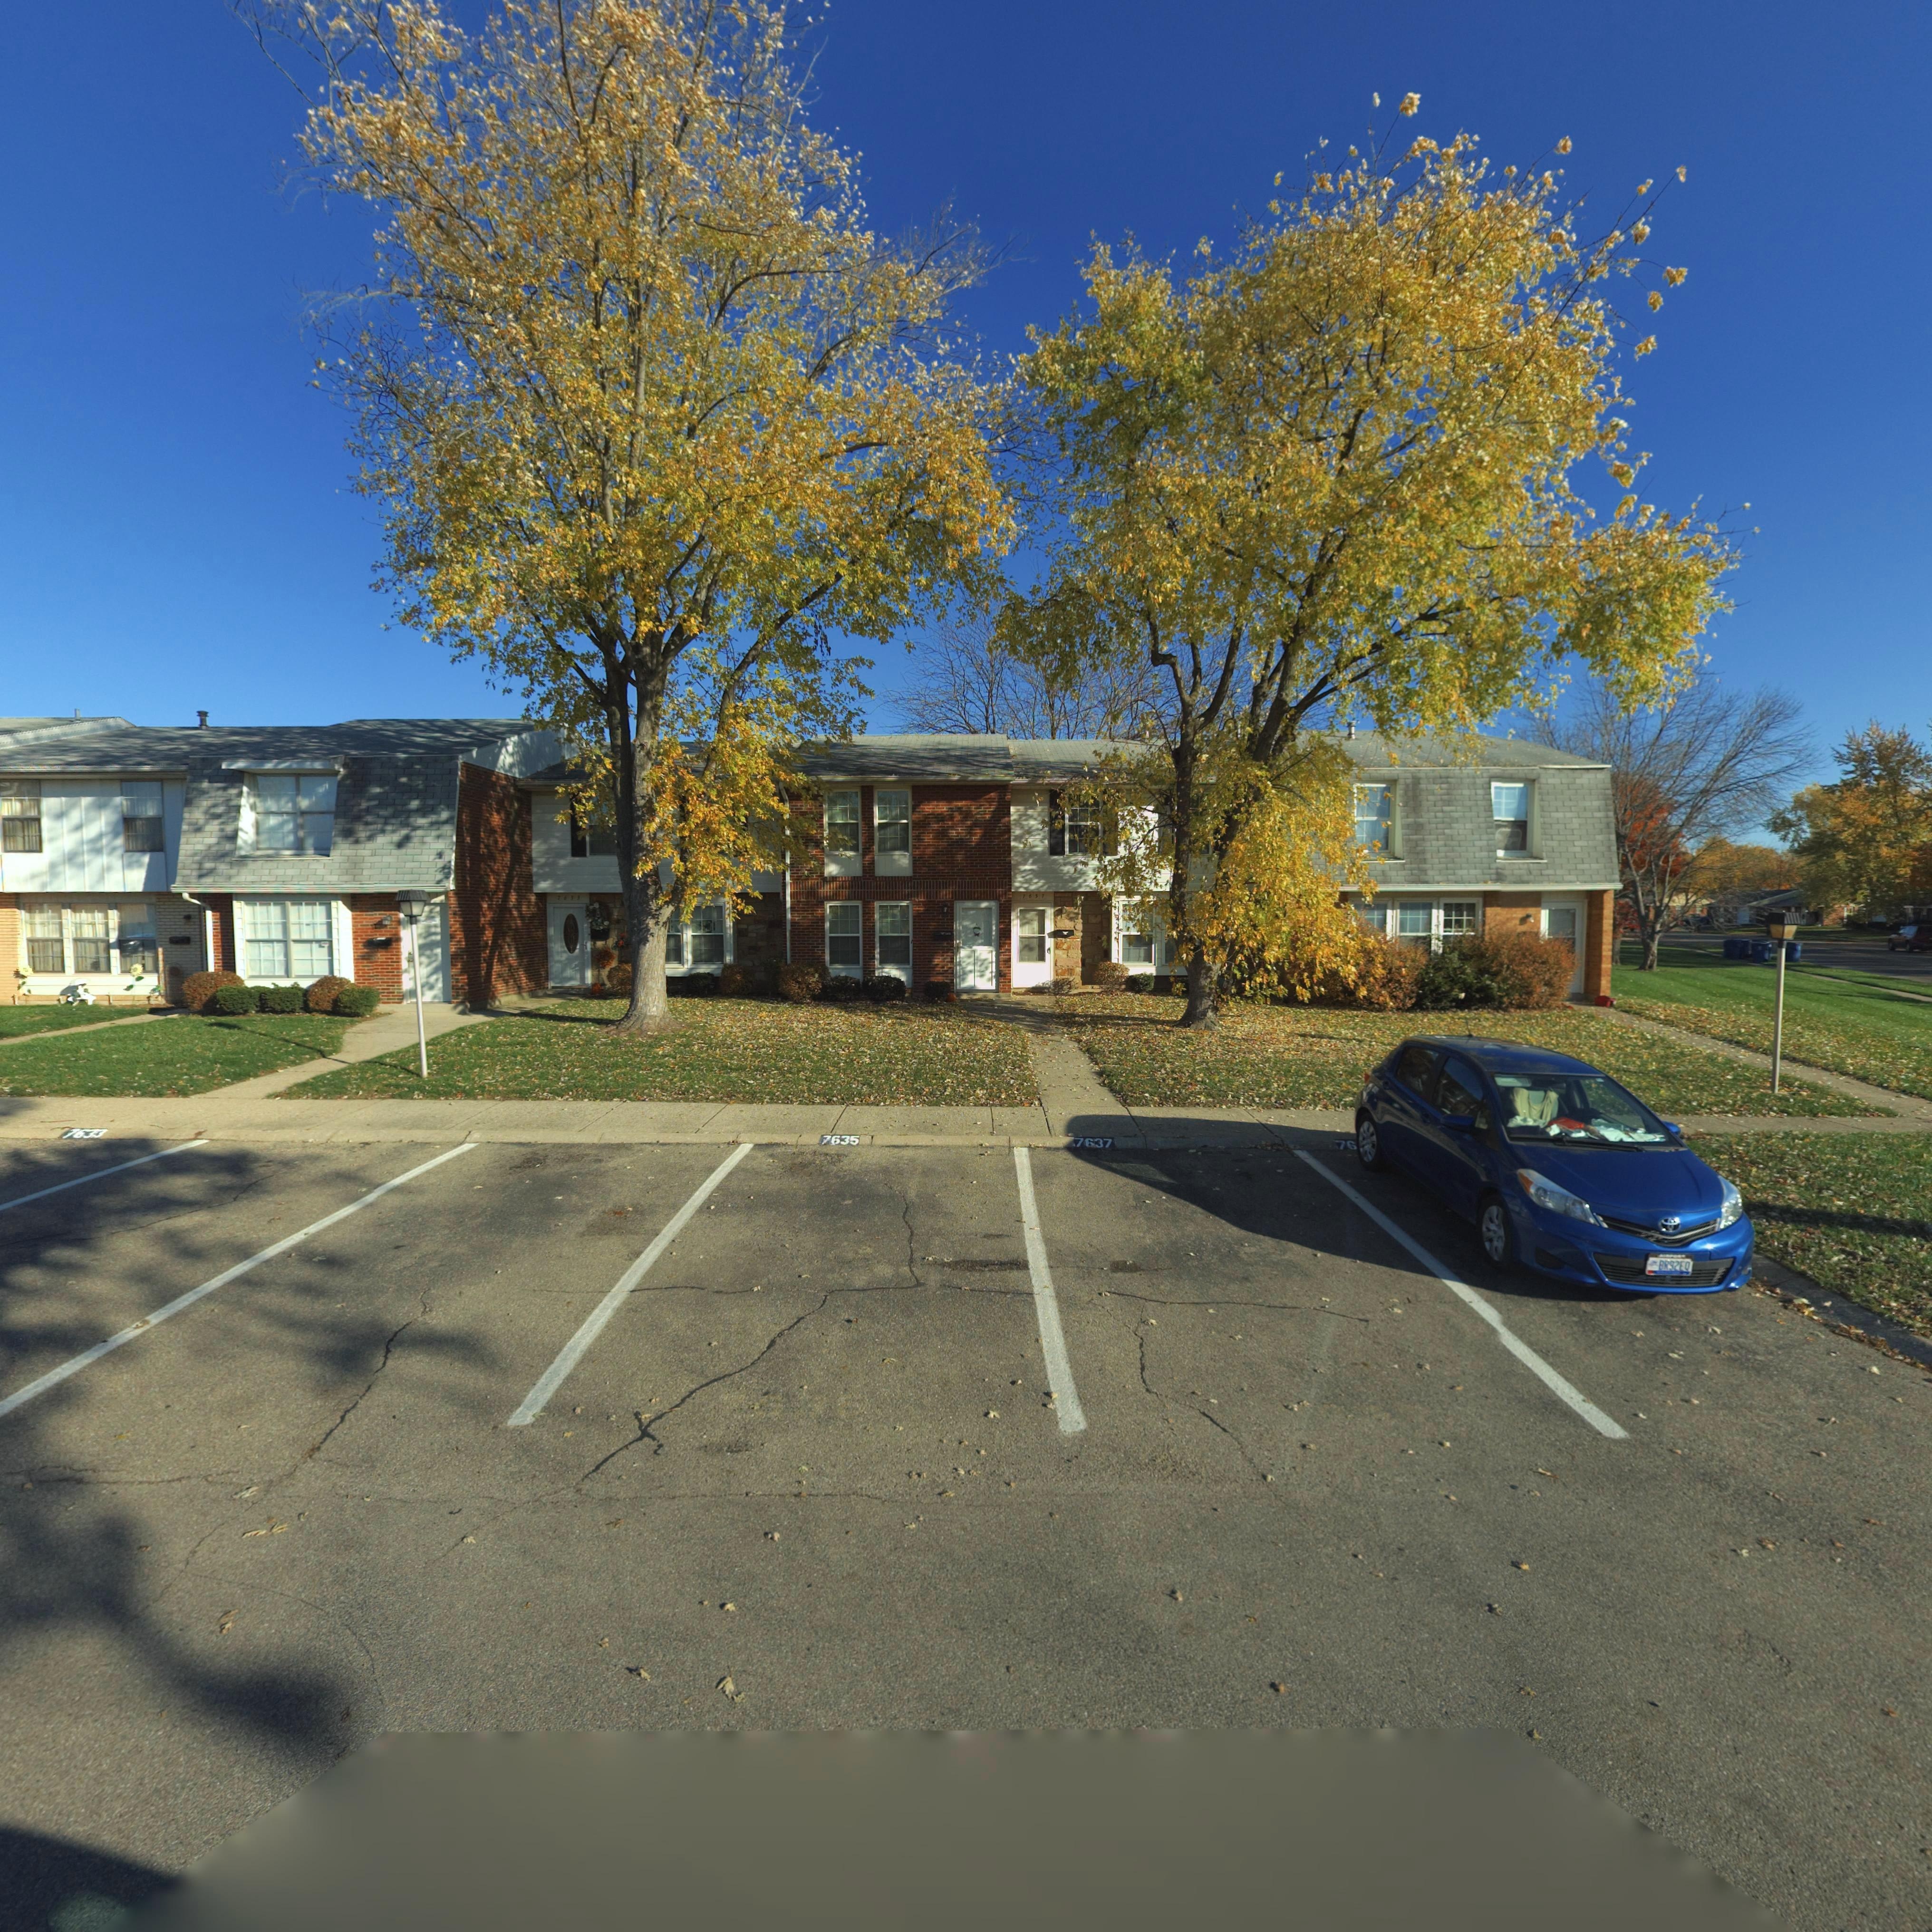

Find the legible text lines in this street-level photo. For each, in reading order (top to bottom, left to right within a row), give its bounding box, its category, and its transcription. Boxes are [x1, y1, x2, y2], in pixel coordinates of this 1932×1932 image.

[434, 892, 439, 899] StreetNumber: 5
[557, 895, 580, 900] StreetNumber: 7633
[1022, 893, 1045, 899] StreetNumber: 7637
[60, 1128, 109, 1139] StreetNumber: 7633
[821, 1135, 860, 1146] StreetNumber: 7635
[1073, 1137, 1113, 1149] StreetNumber: 7637
[1333, 1139, 1358, 1150] StreetNumber: 76